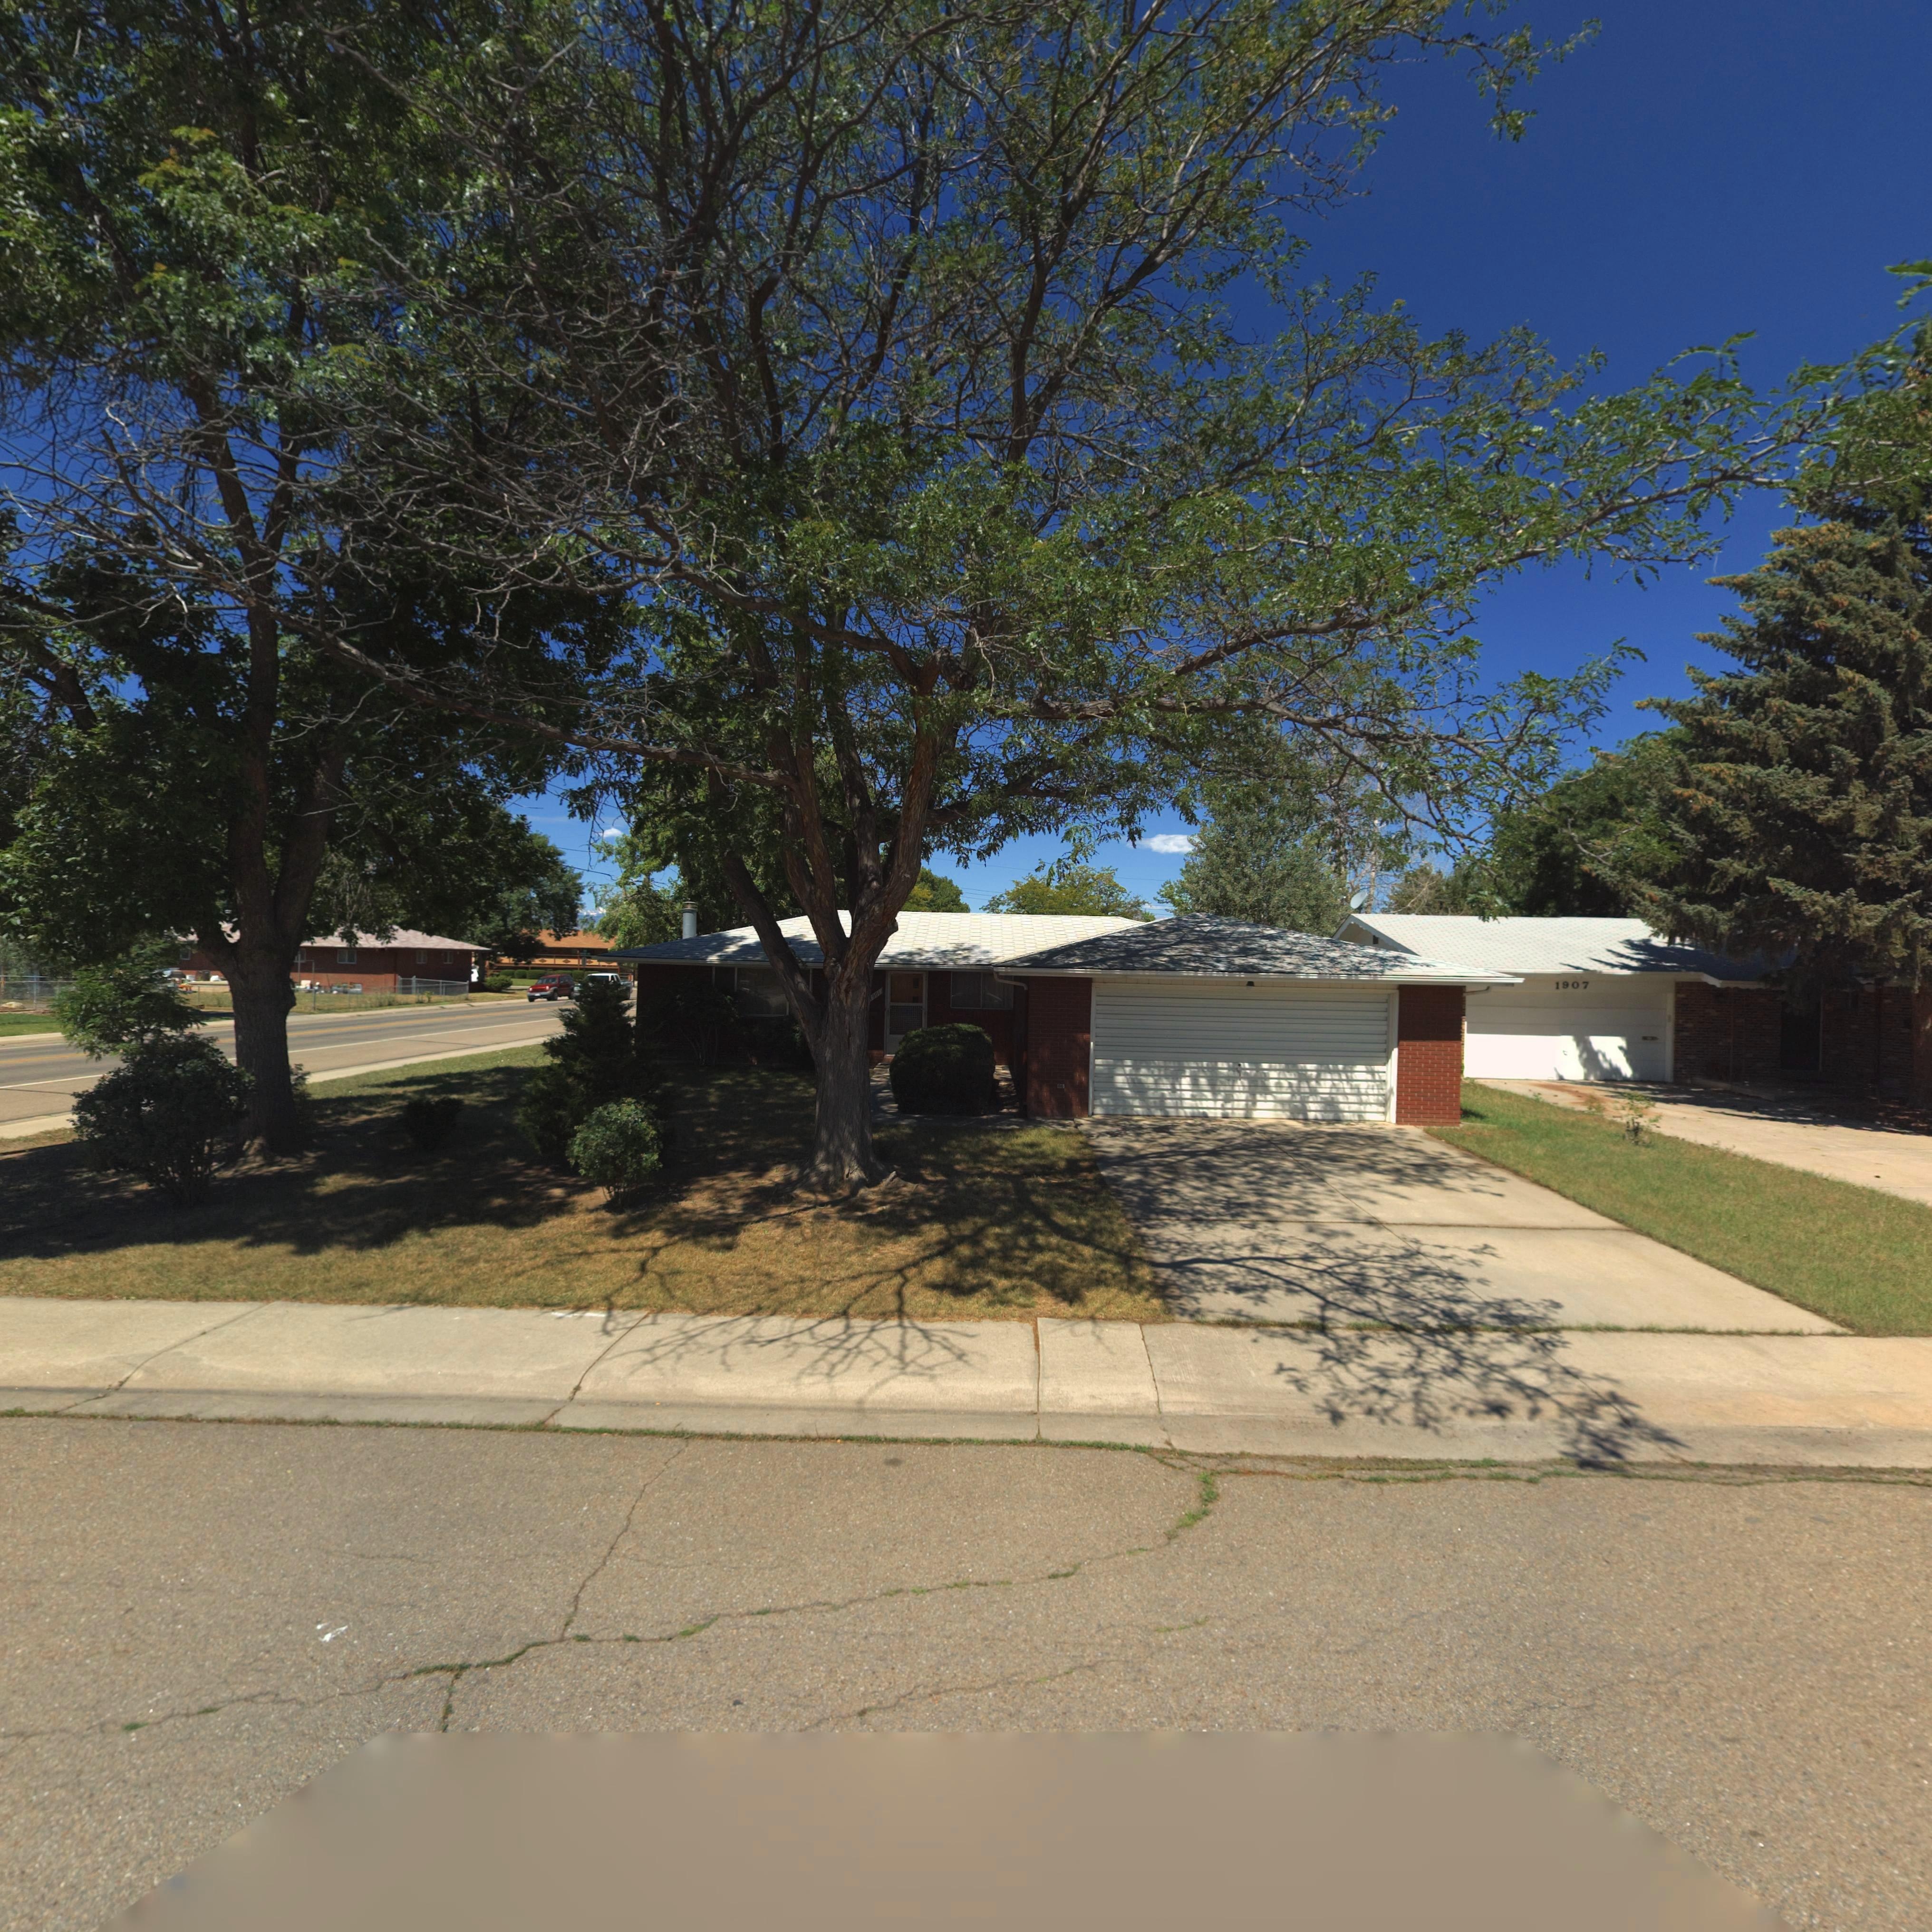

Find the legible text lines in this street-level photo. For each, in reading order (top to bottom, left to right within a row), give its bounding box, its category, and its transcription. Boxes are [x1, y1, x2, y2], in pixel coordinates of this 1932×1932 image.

[1555, 981, 1590, 990] StreetNumber: 1907
[869, 989, 880, 1001] StreetNumber: 1901